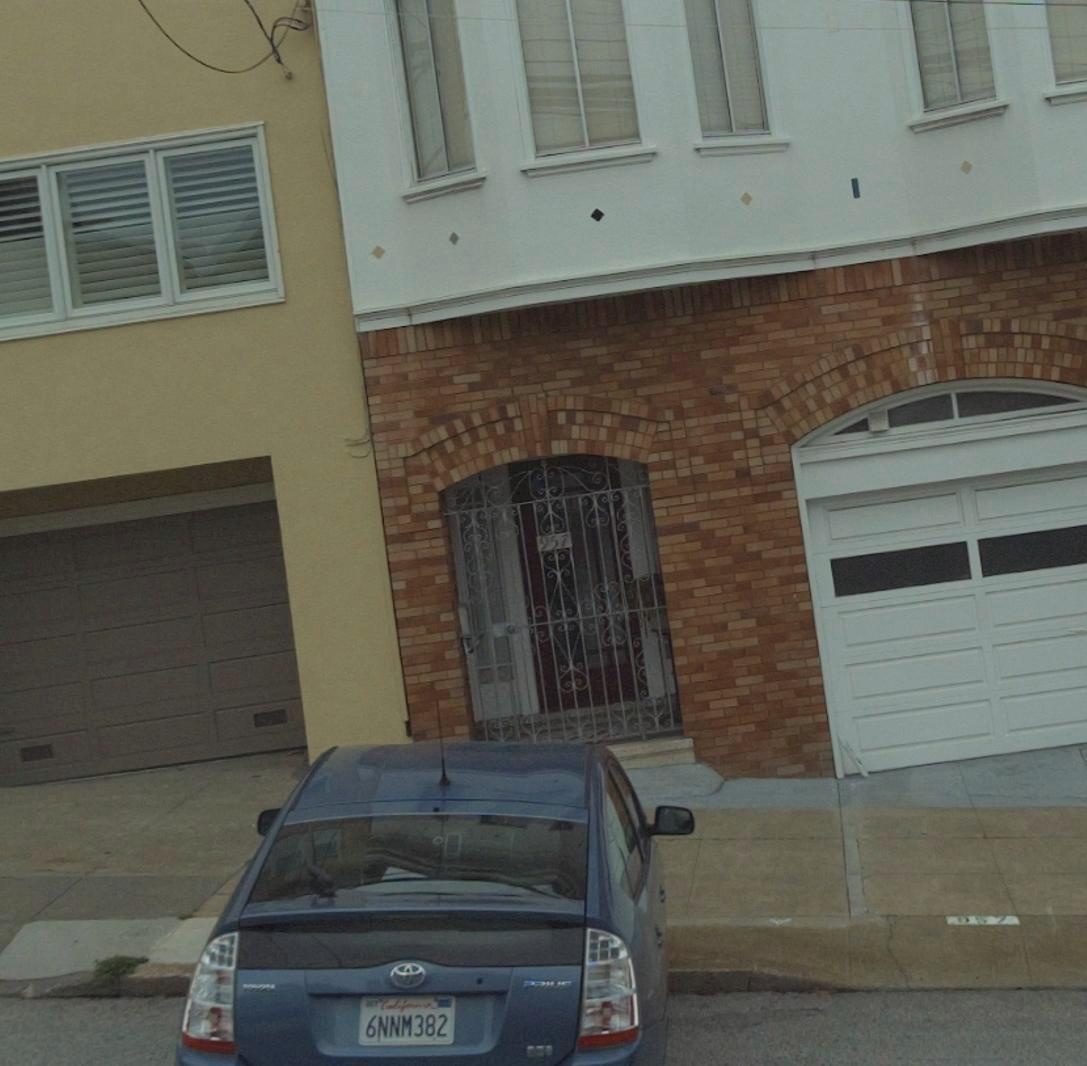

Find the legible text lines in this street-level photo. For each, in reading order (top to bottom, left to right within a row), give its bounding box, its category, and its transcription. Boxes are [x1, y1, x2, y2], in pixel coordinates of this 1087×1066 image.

[538, 532, 570, 552] StreetNumber: 957
[953, 915, 1008, 925] None: *57
[365, 1013, 450, 1038] None: 6NNM382